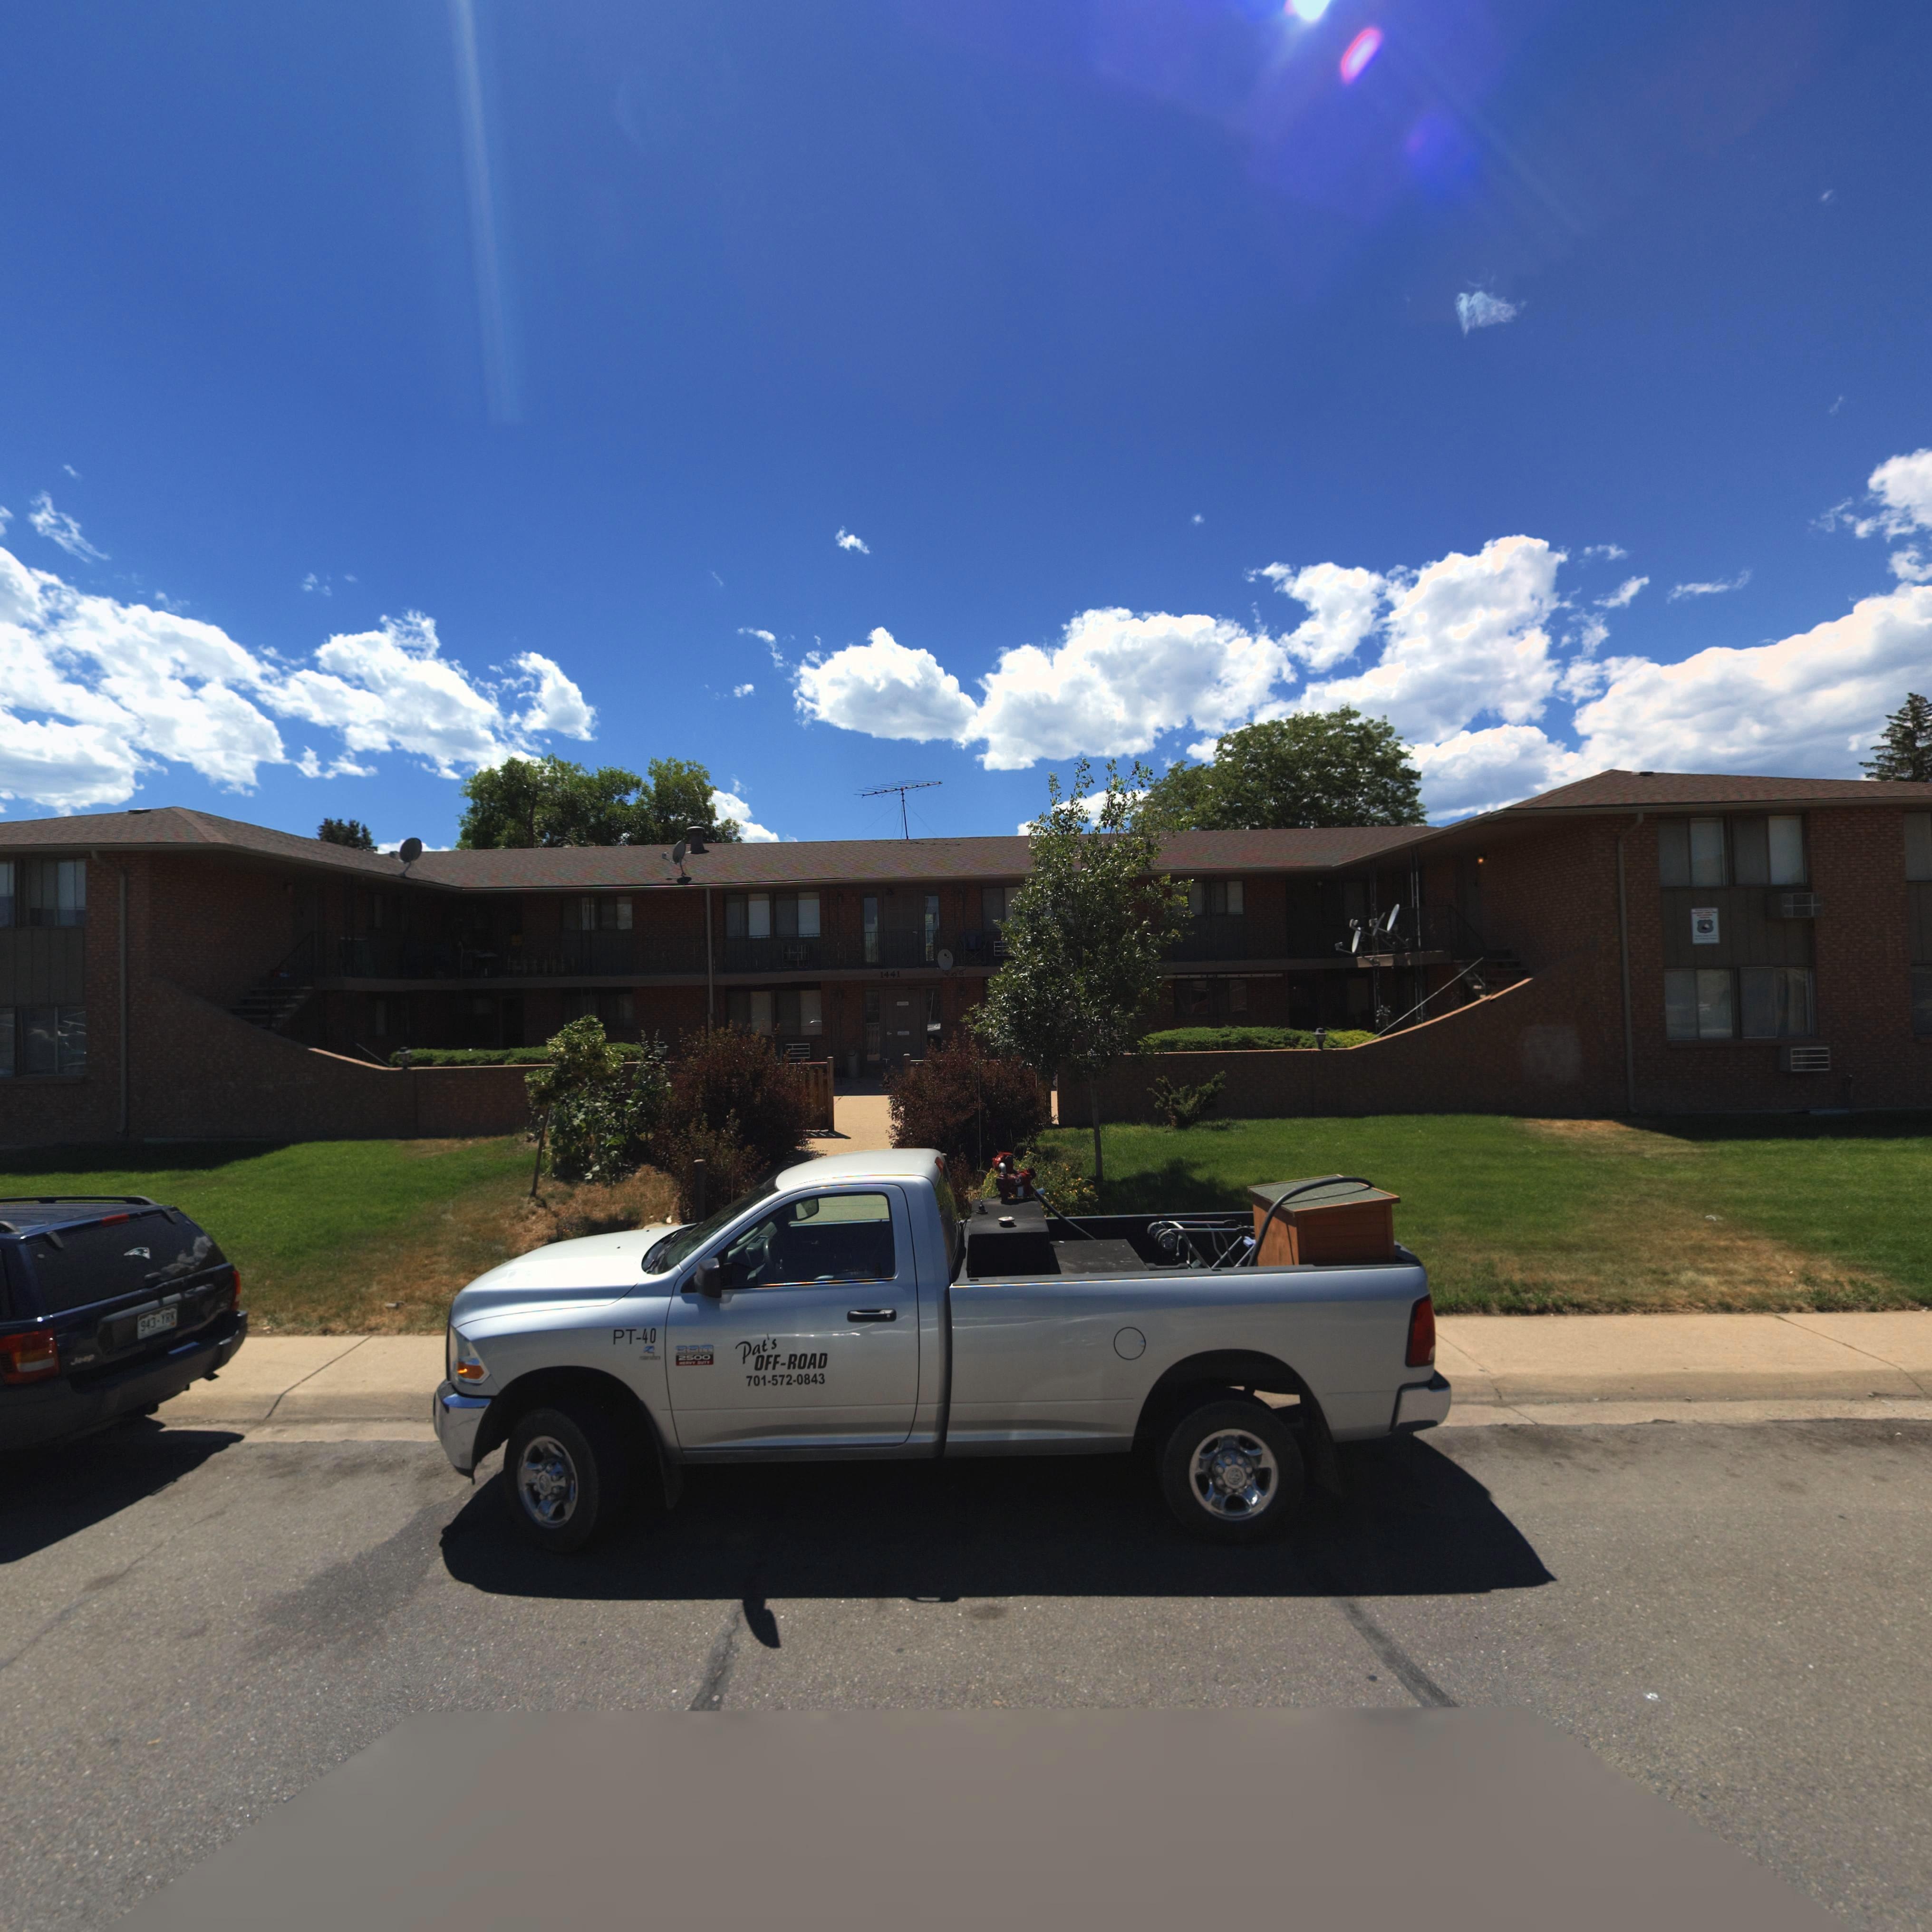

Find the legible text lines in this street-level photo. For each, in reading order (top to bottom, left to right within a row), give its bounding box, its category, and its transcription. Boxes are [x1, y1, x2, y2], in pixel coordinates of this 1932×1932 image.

[879, 970, 900, 978] StreetNumber: 1441